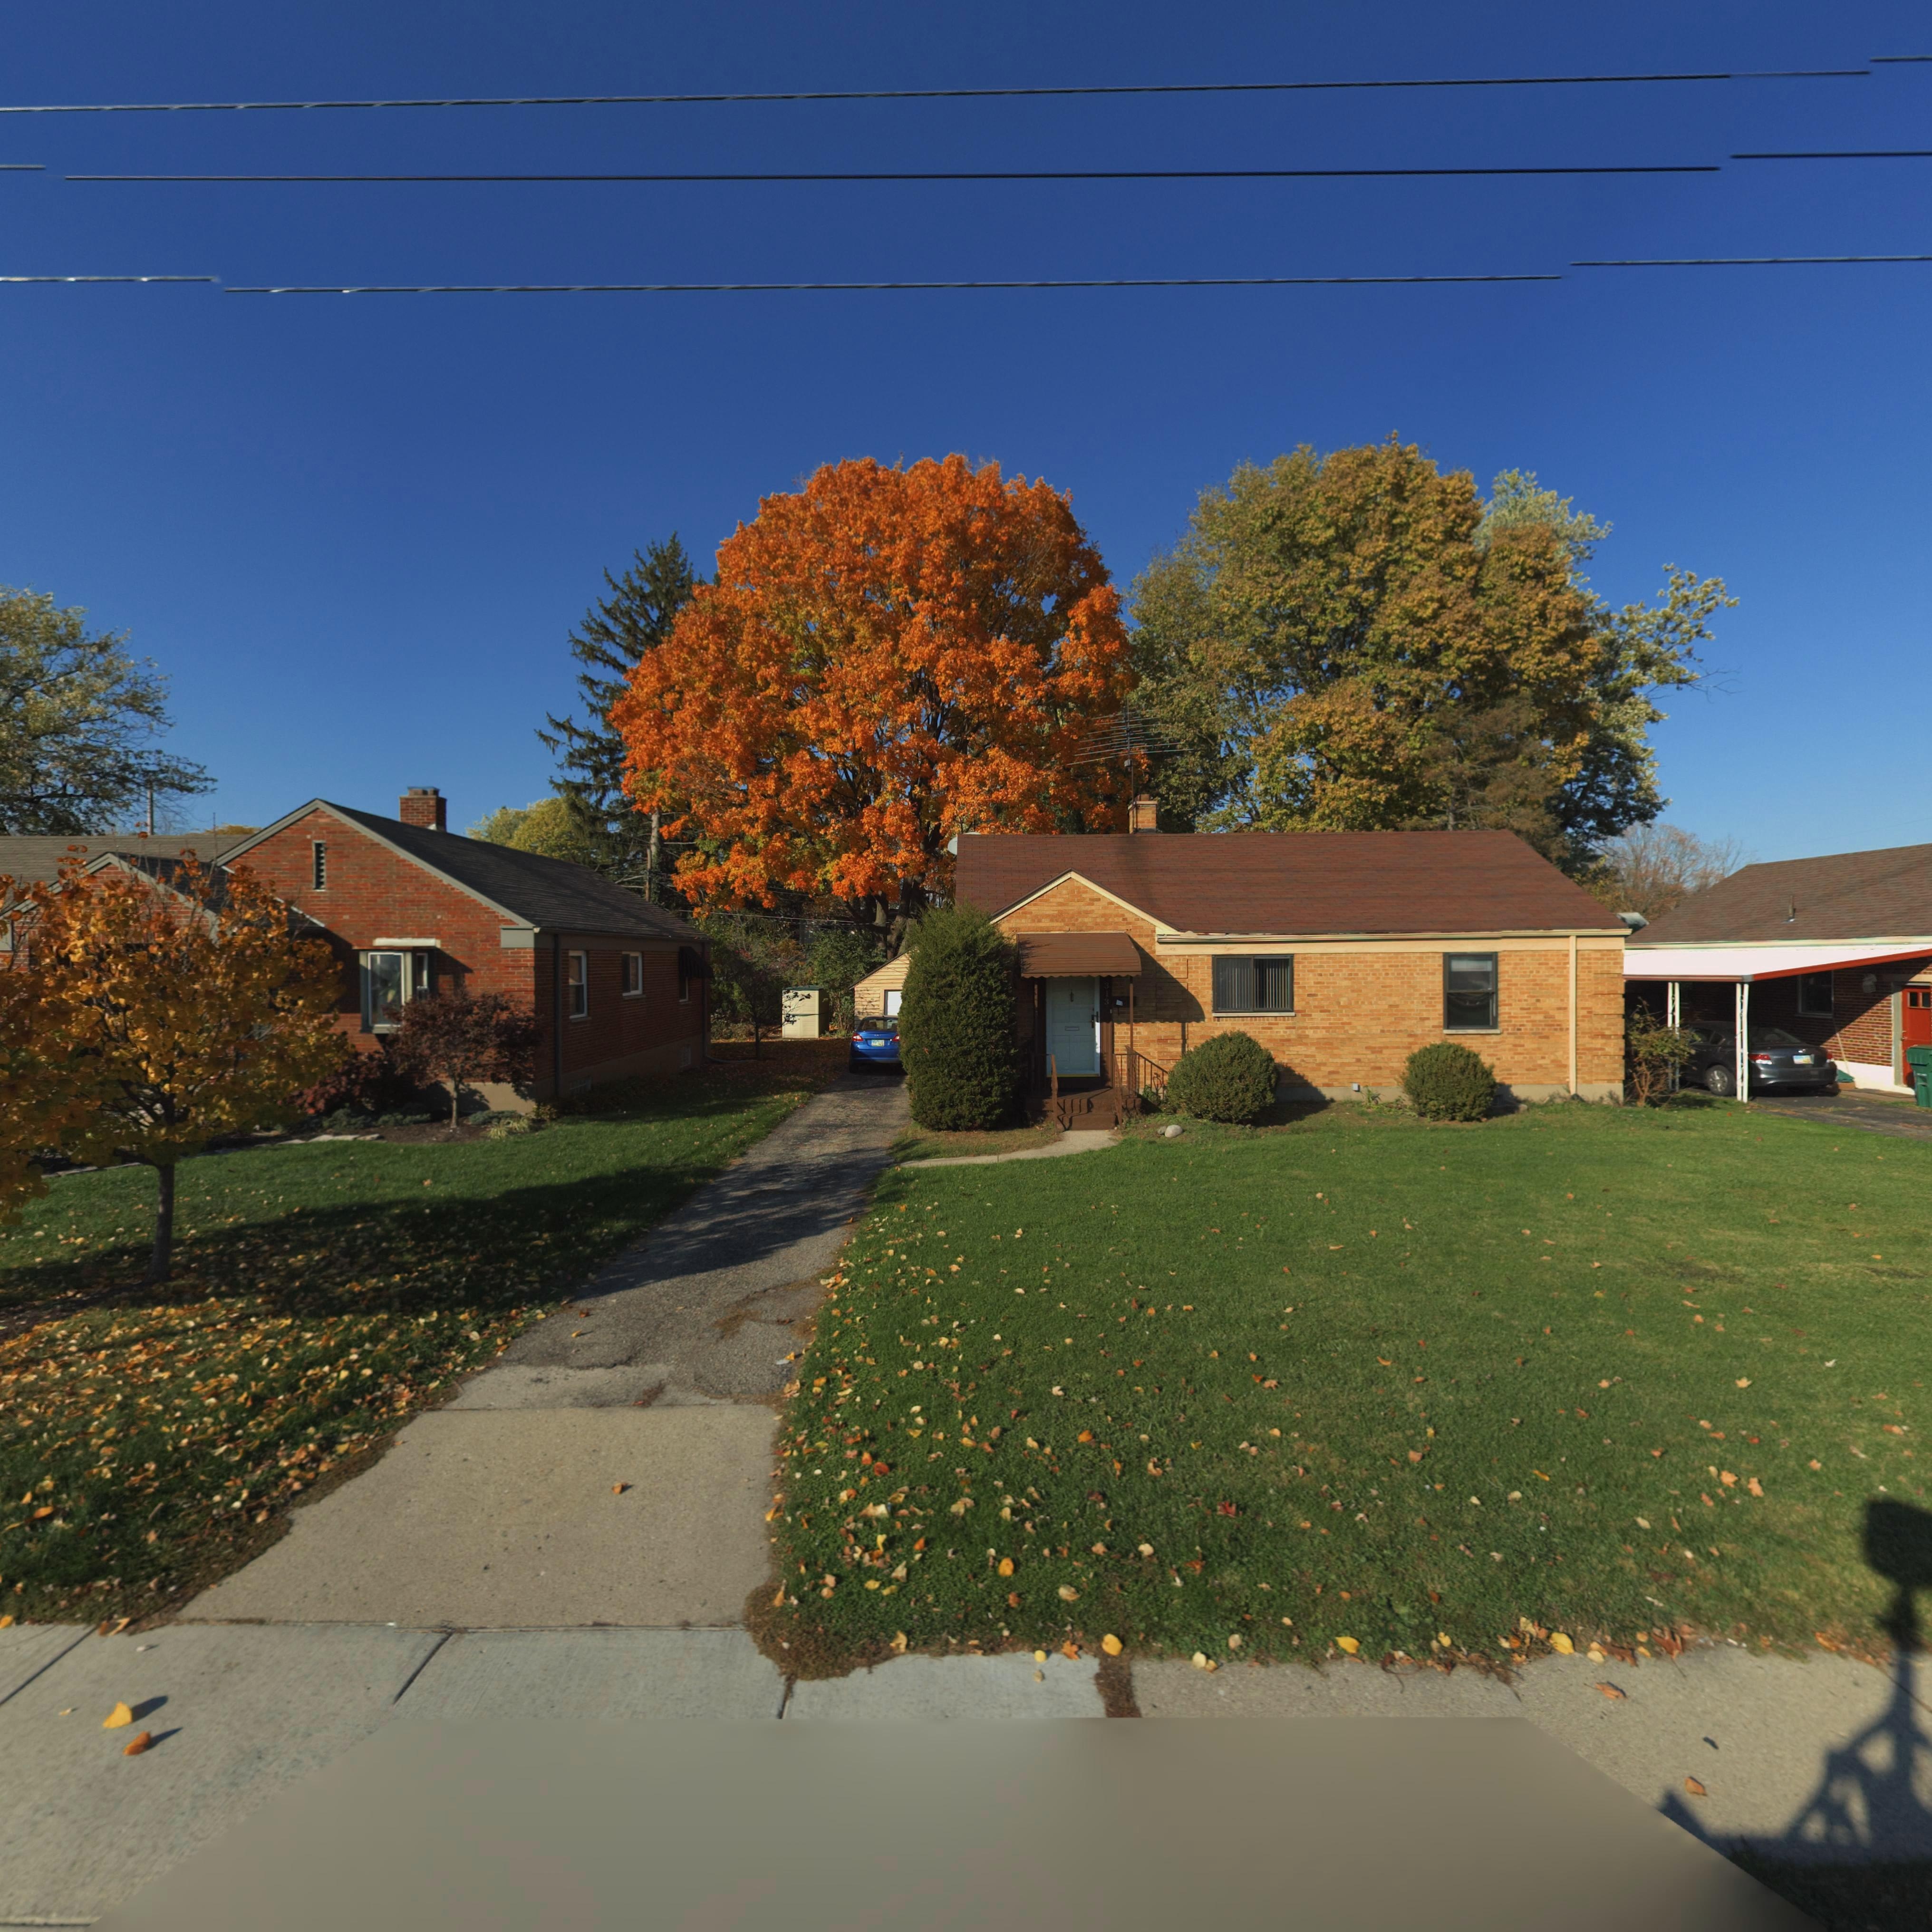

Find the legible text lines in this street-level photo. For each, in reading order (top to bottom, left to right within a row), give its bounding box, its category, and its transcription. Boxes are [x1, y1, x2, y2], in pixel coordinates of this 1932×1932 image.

[1103, 980, 1110, 1006] StreetNumber: 313